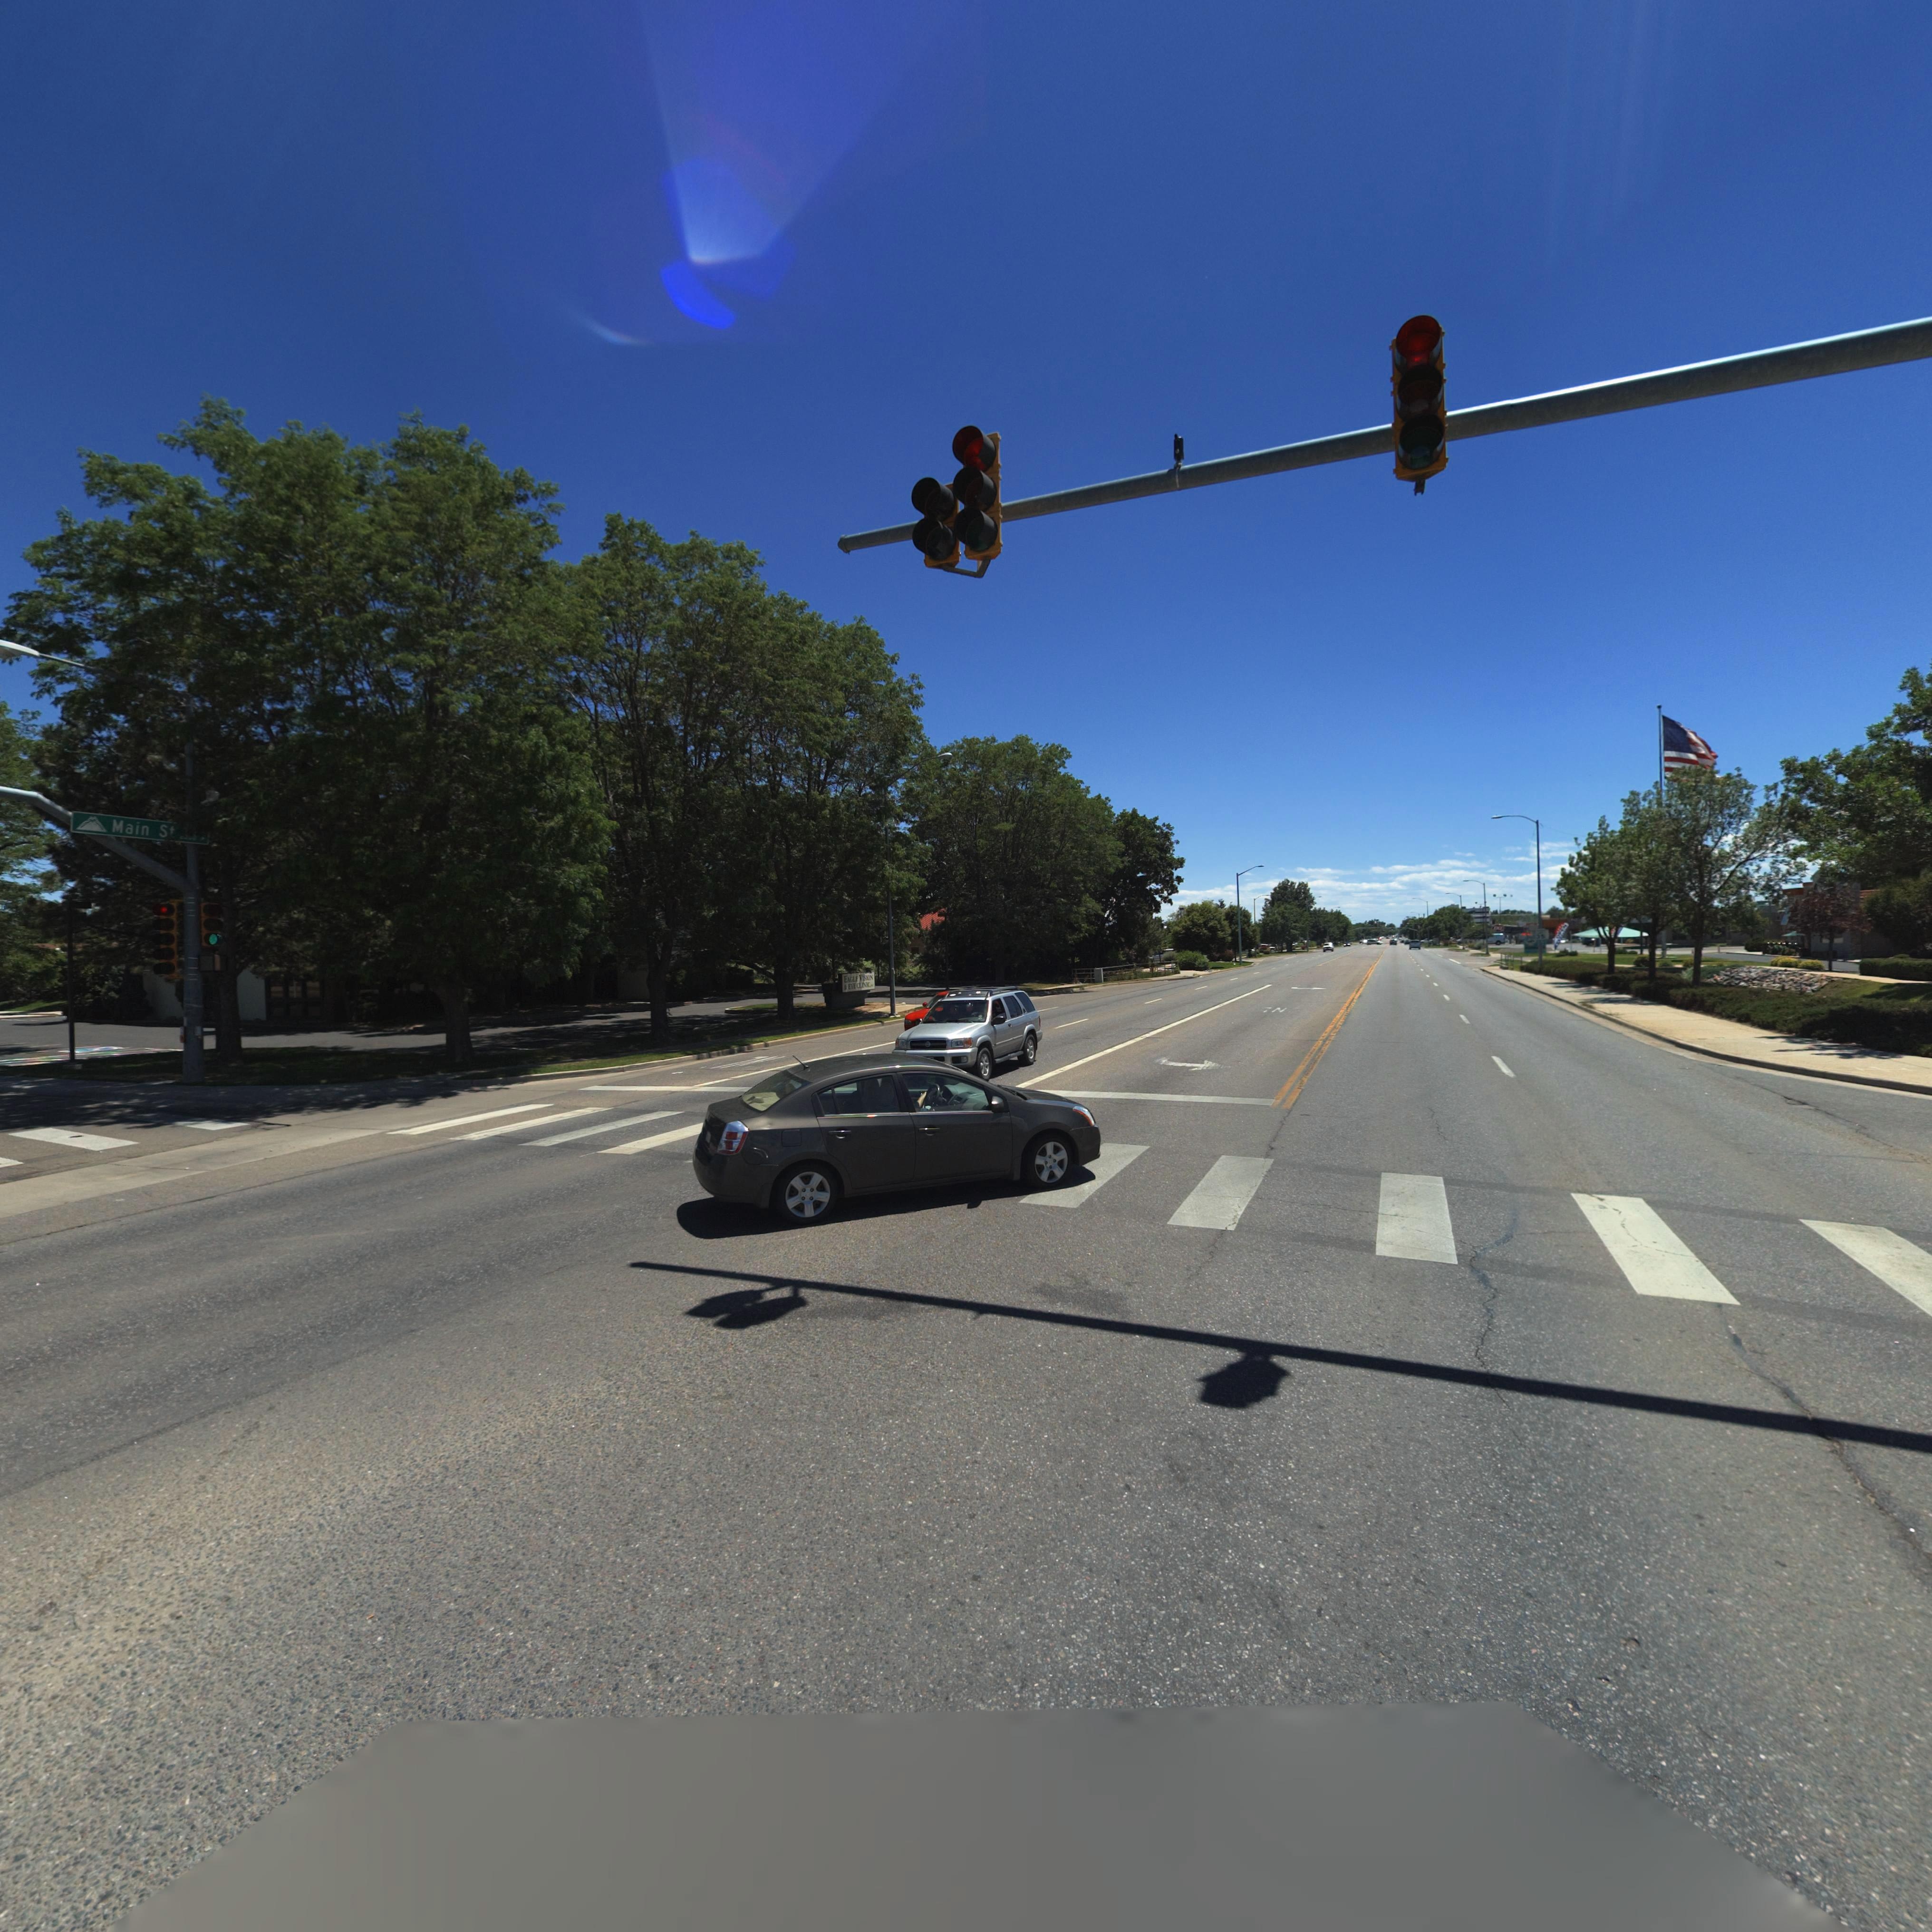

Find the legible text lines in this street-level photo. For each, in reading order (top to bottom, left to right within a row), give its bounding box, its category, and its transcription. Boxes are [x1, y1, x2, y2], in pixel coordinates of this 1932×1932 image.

[112, 819, 169, 838] StreetName: Main S
[1493, 926, 1503, 931] BusinessName: DQ
[843, 974, 873, 983] BusinessName: EAGLE VISION
[843, 981, 871, 990] BusinessName: & EYE CLINIC